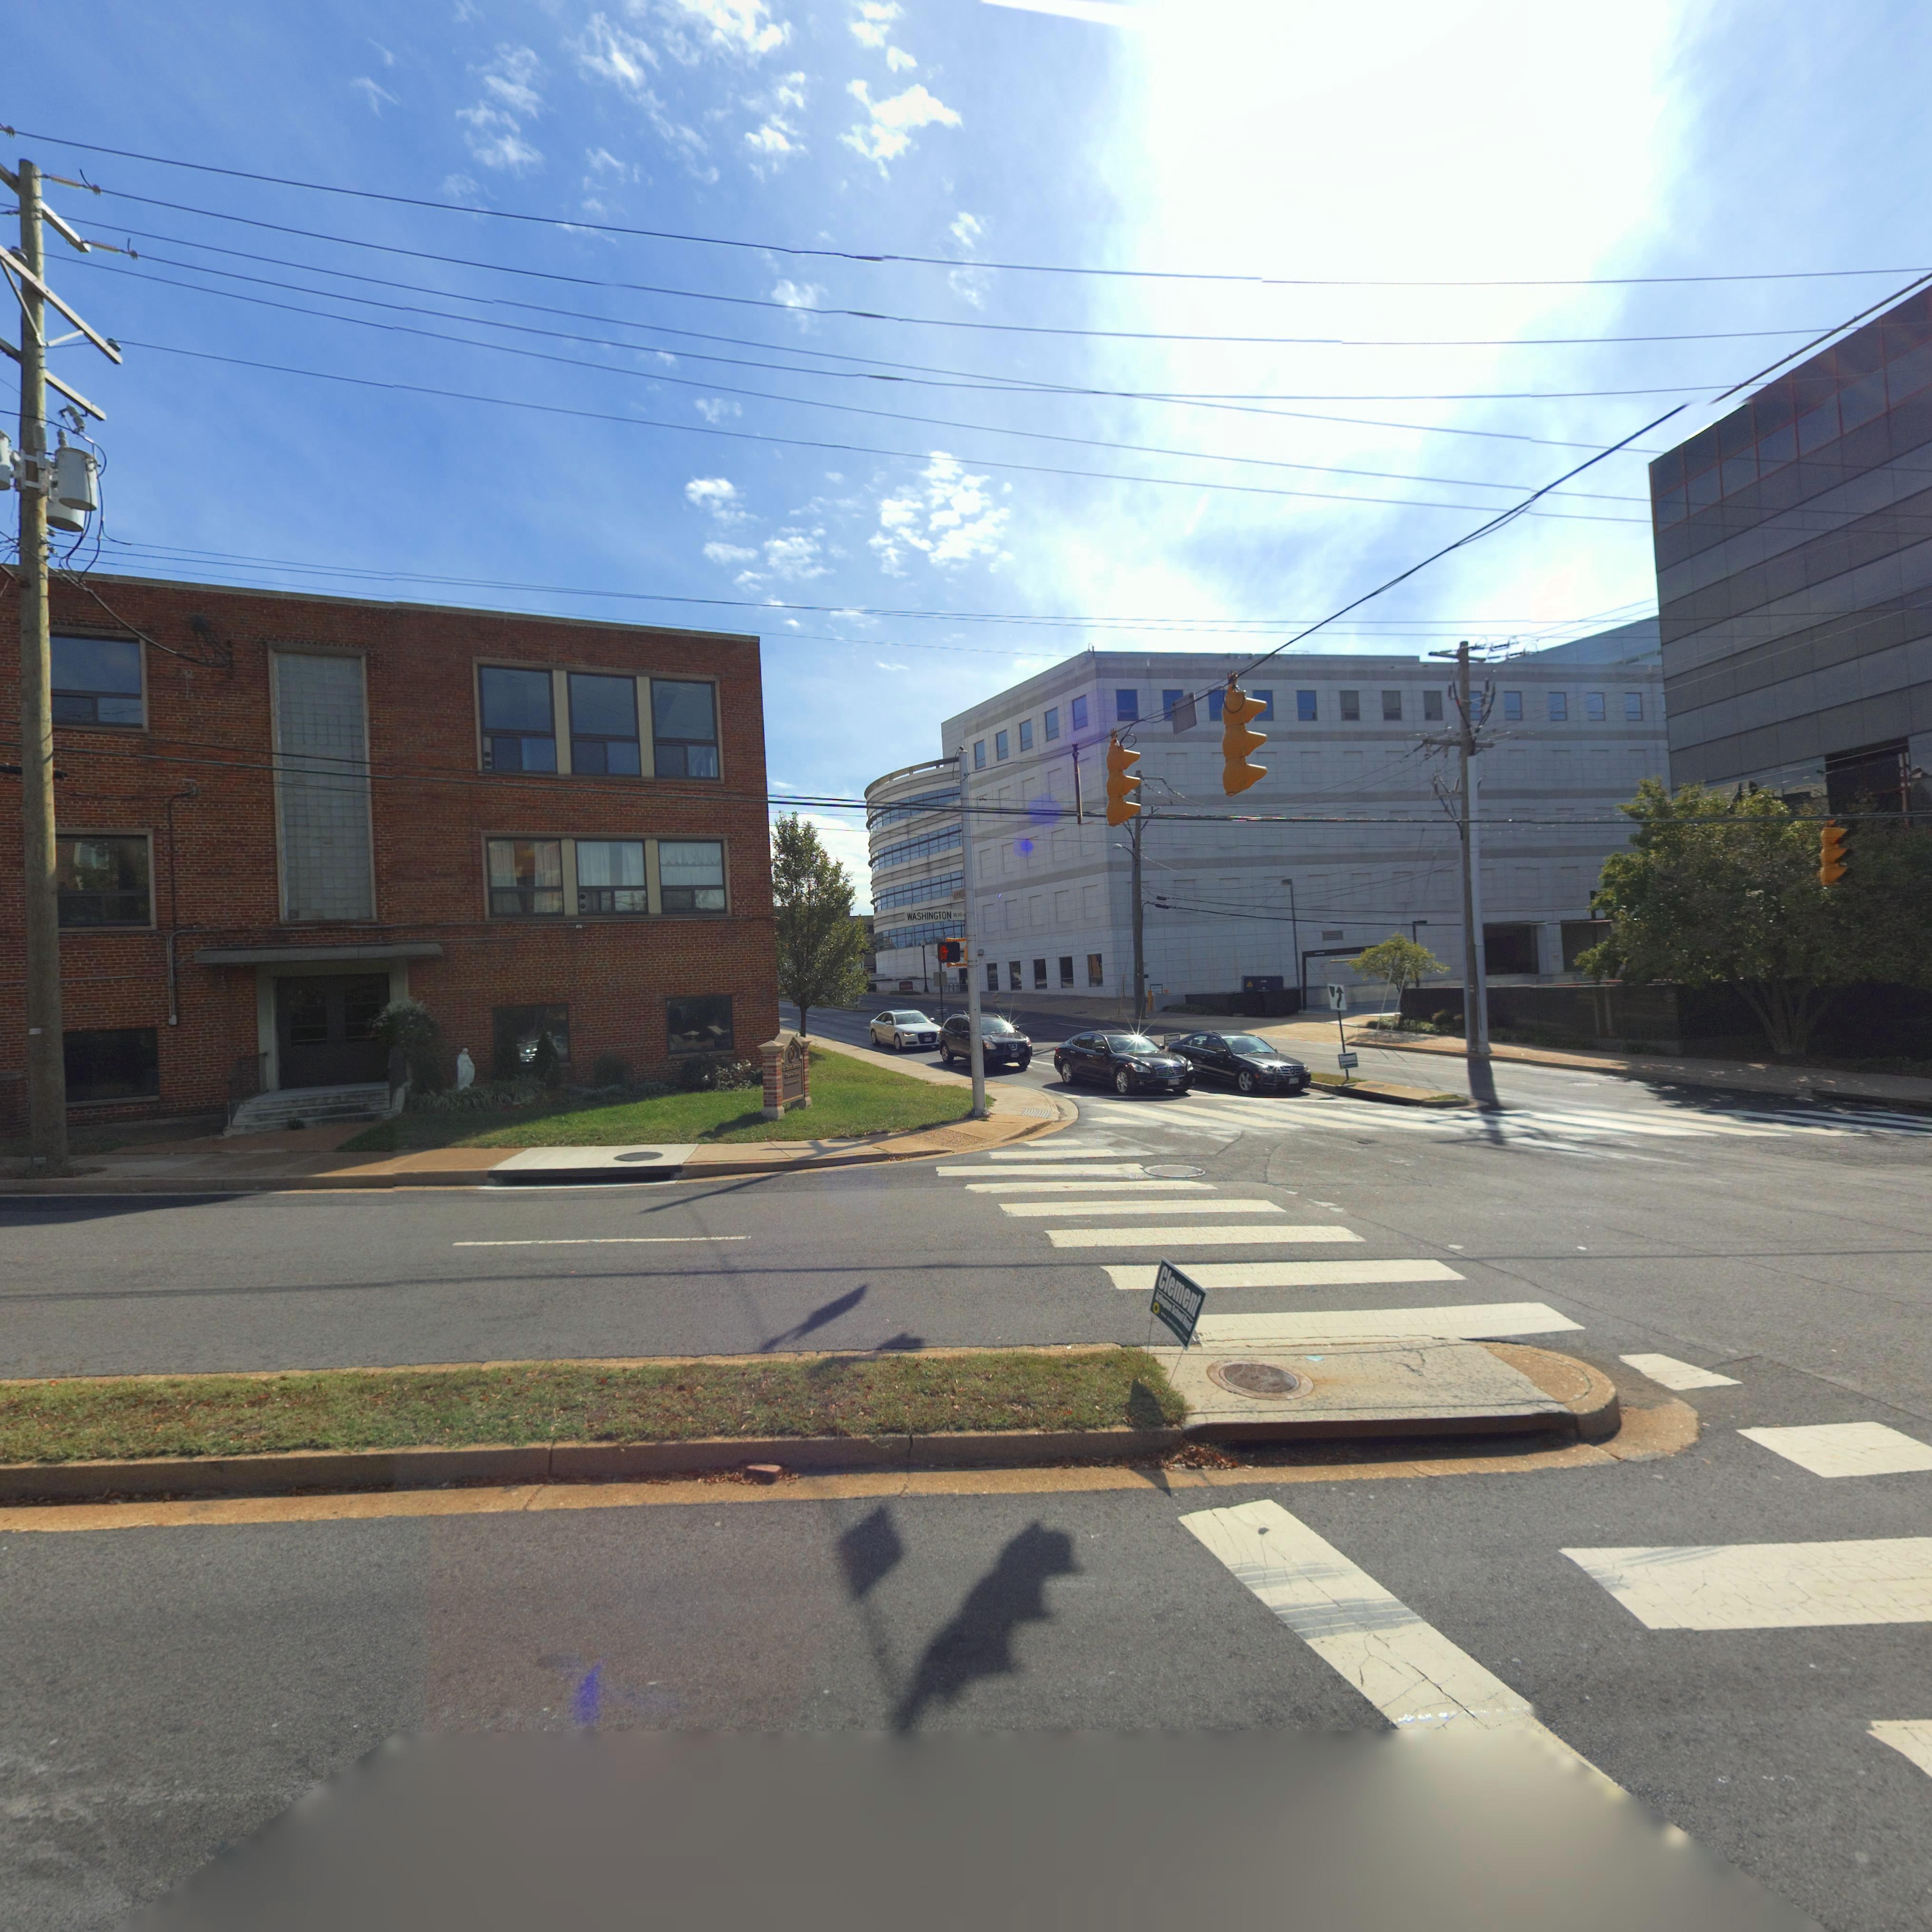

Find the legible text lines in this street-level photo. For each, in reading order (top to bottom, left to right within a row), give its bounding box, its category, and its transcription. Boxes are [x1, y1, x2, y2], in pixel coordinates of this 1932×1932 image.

[955, 889, 964, 899] StreetName: RKWOO
[906, 910, 963, 921] StreetName: WASHINGTON BLVD
[1339, 1055, 1343, 1063] None: C
[1157, 1263, 1203, 1319] None: Clement
[1154, 1290, 1194, 1333] None: Arlington School Board